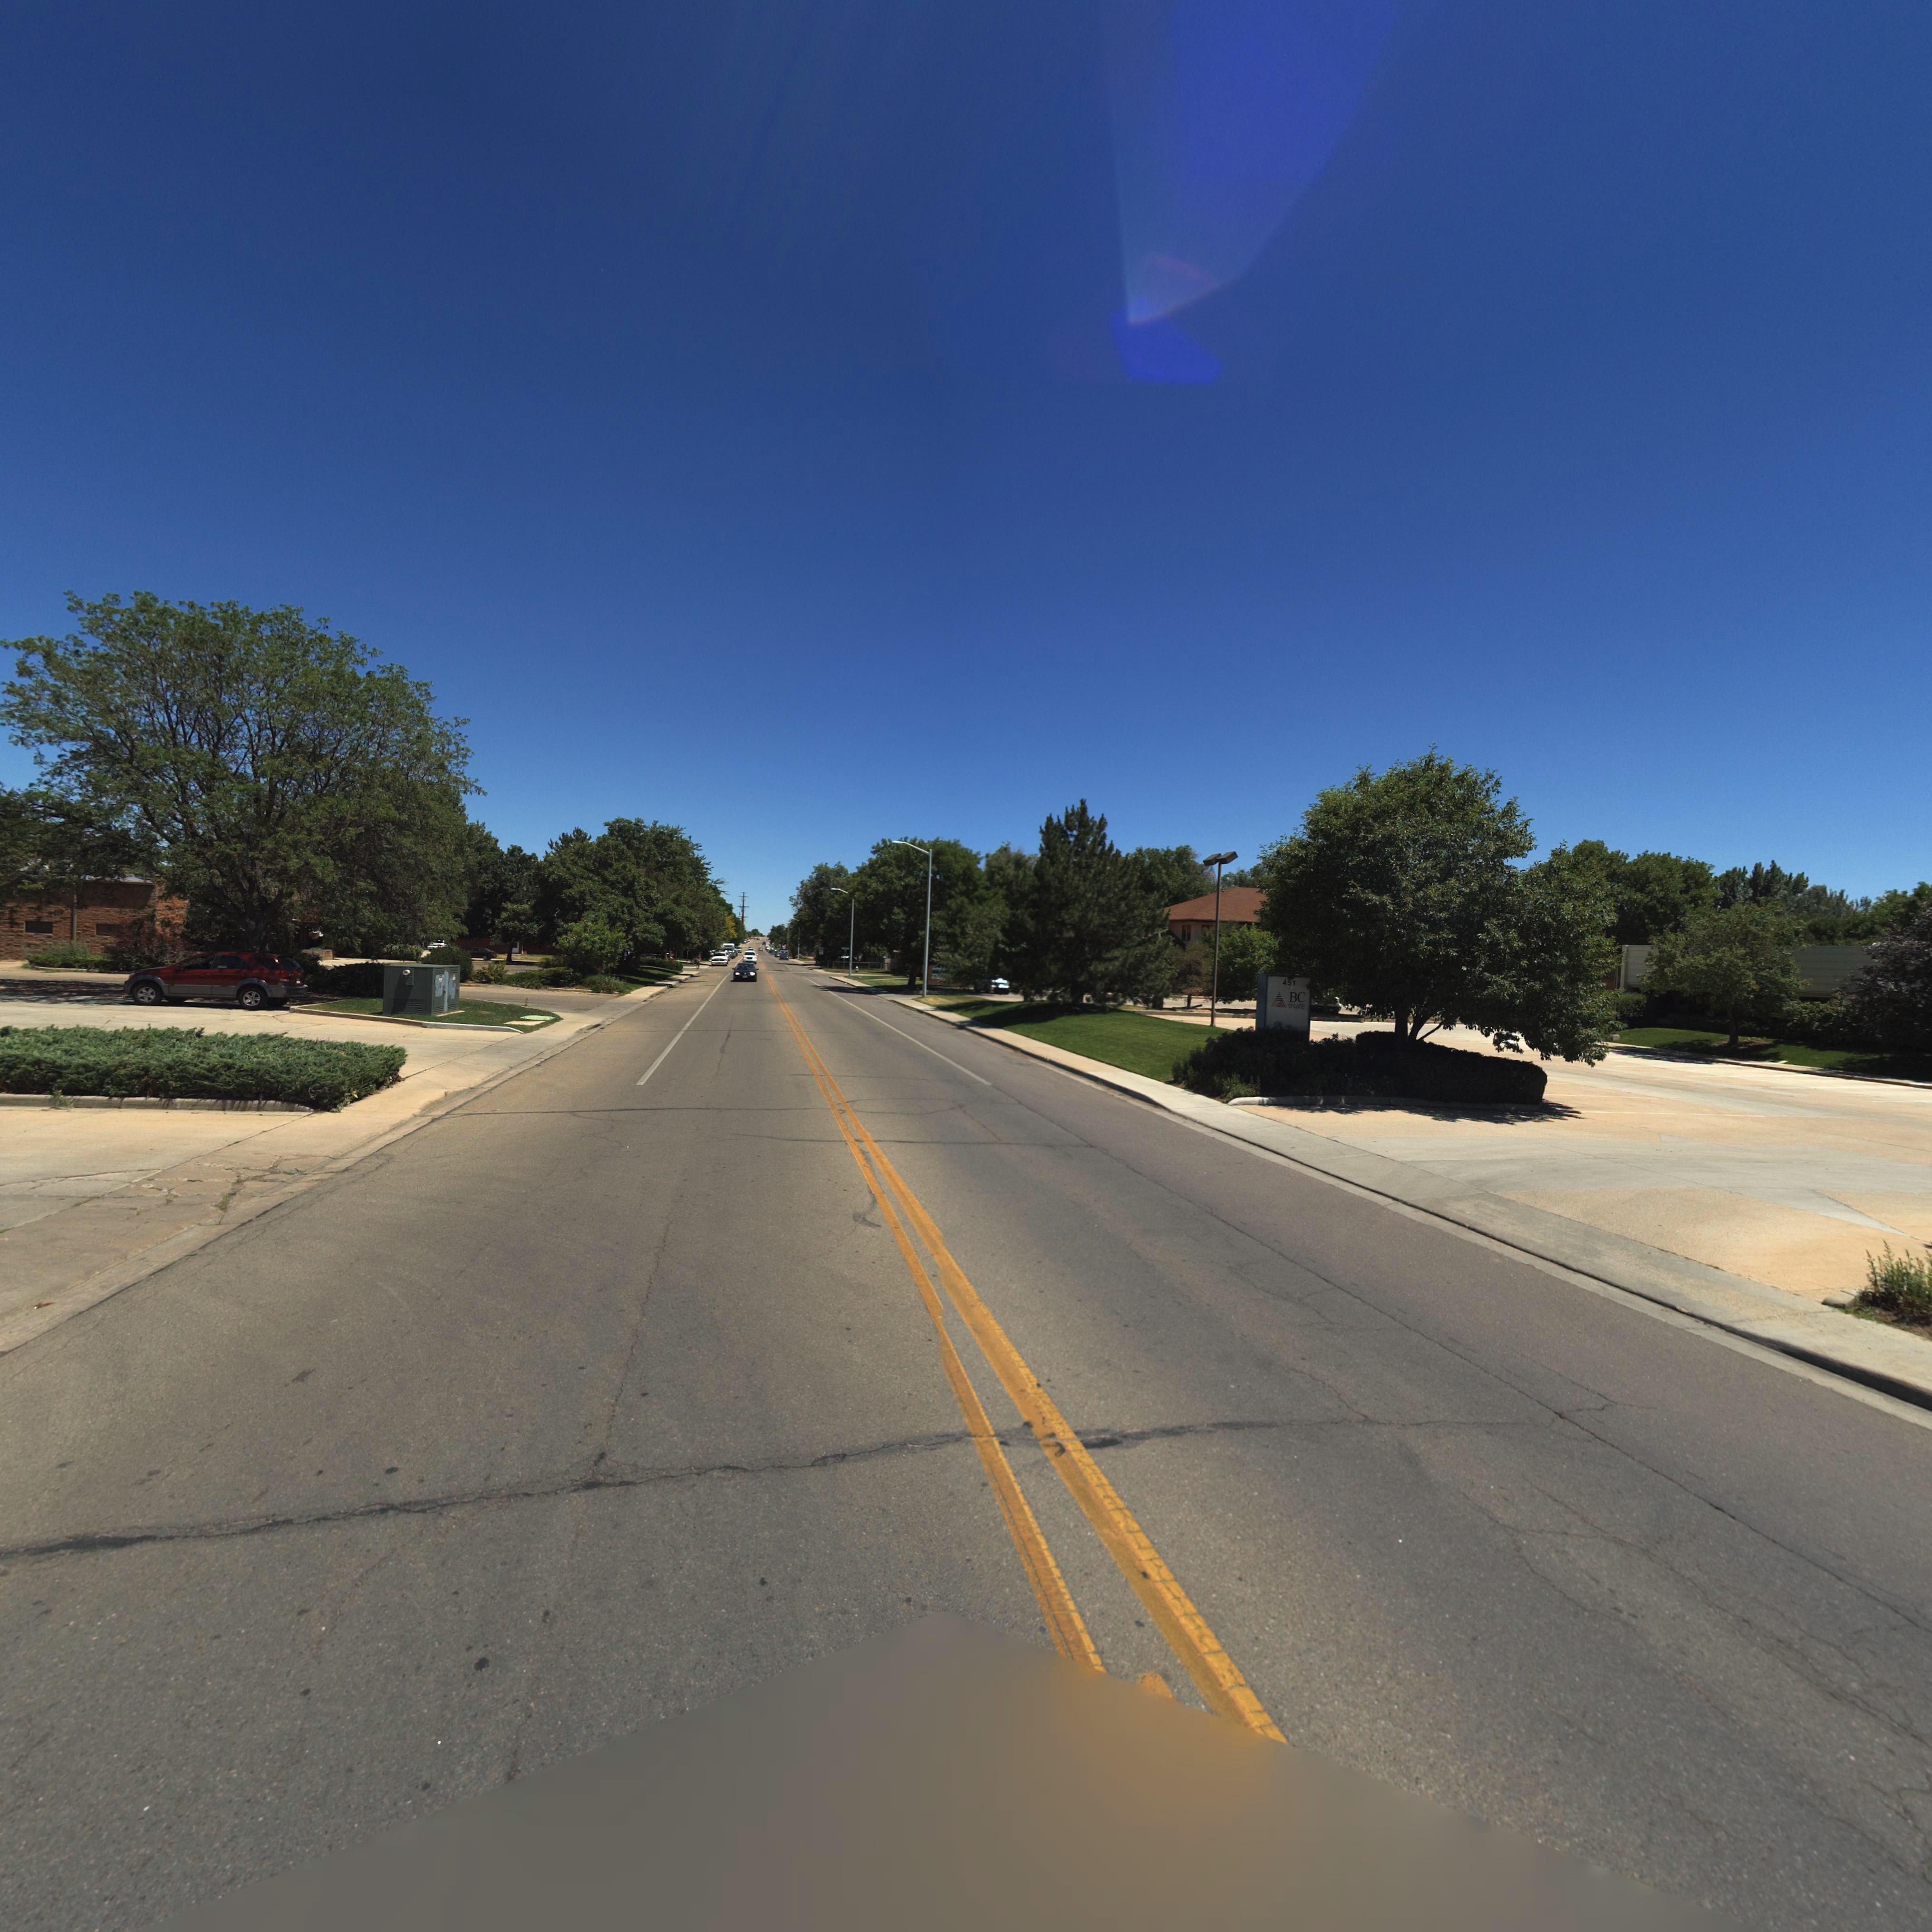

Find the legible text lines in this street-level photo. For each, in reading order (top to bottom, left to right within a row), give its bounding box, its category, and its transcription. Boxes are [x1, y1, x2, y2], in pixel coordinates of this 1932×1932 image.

[1281, 979, 1295, 985] StreetNumber: 451
[1287, 991, 1306, 1003] BusinessName: BC
[1288, 1003, 1305, 1009] BusinessName: SERVICES